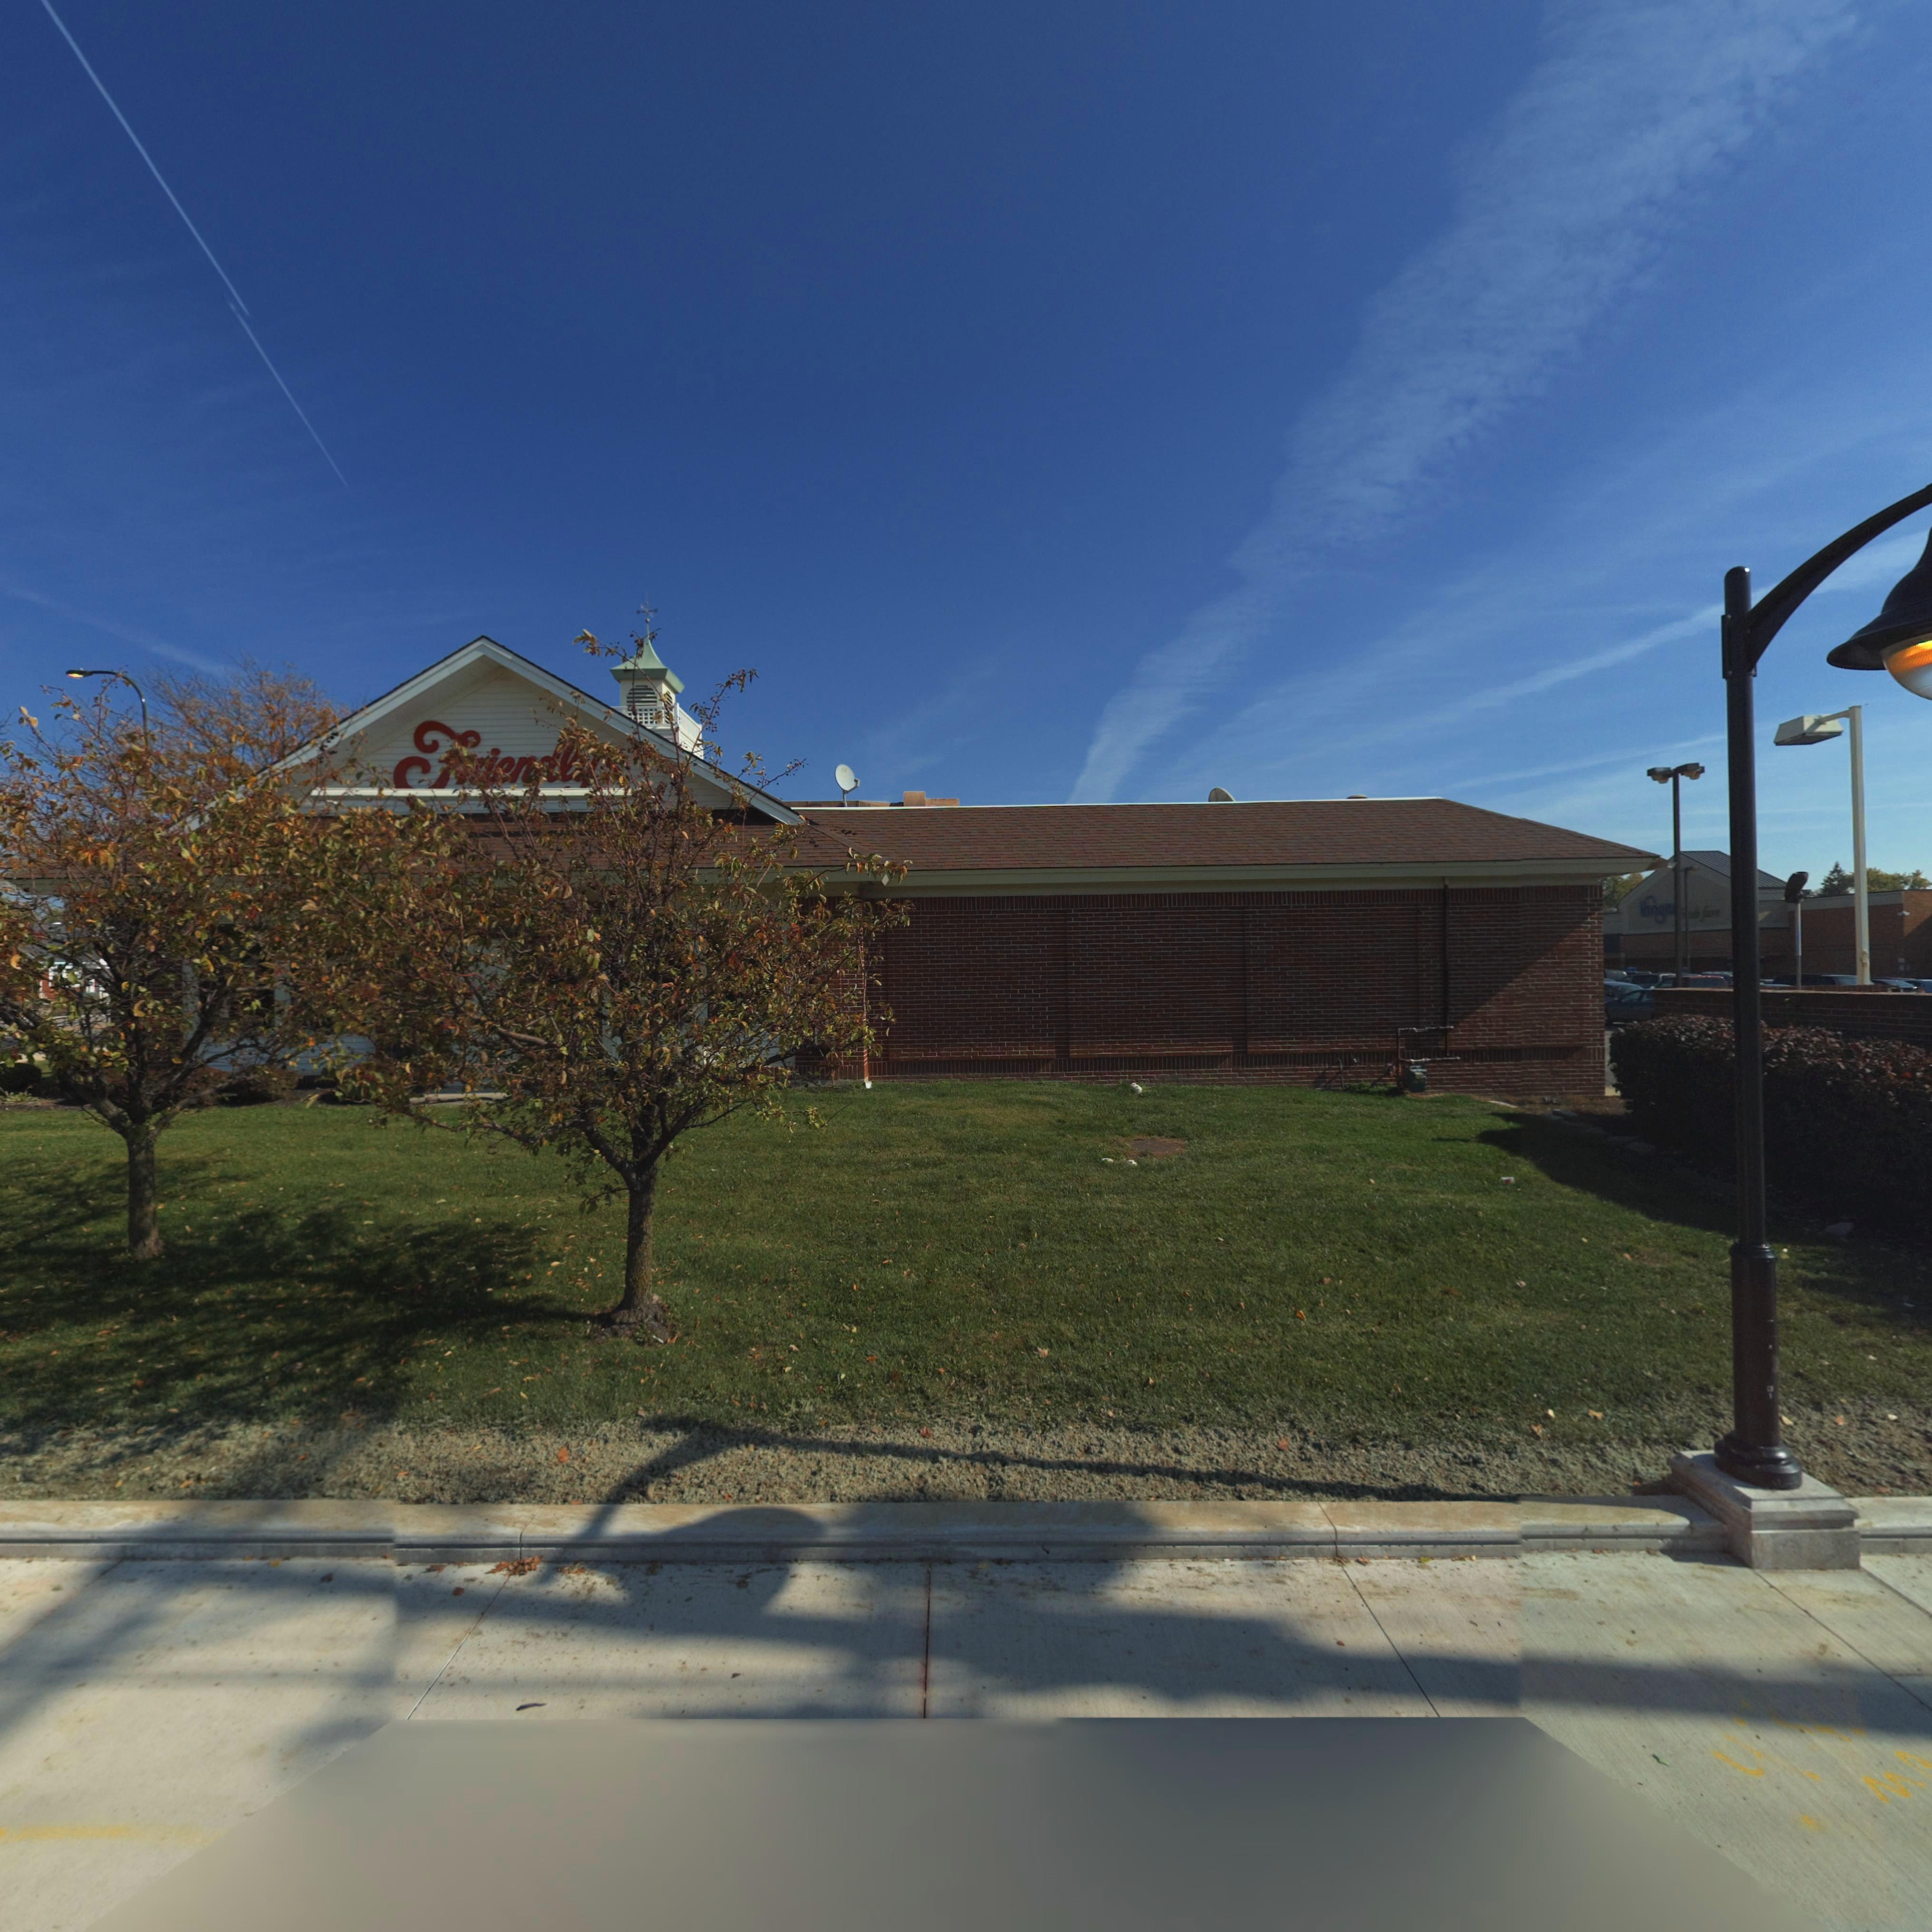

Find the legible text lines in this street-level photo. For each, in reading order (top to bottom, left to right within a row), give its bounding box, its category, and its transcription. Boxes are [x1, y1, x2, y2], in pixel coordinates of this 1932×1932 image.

[505, 755, 540, 786] BusinessName: n
[1639, 895, 1673, 925] BusinessName: K*og*